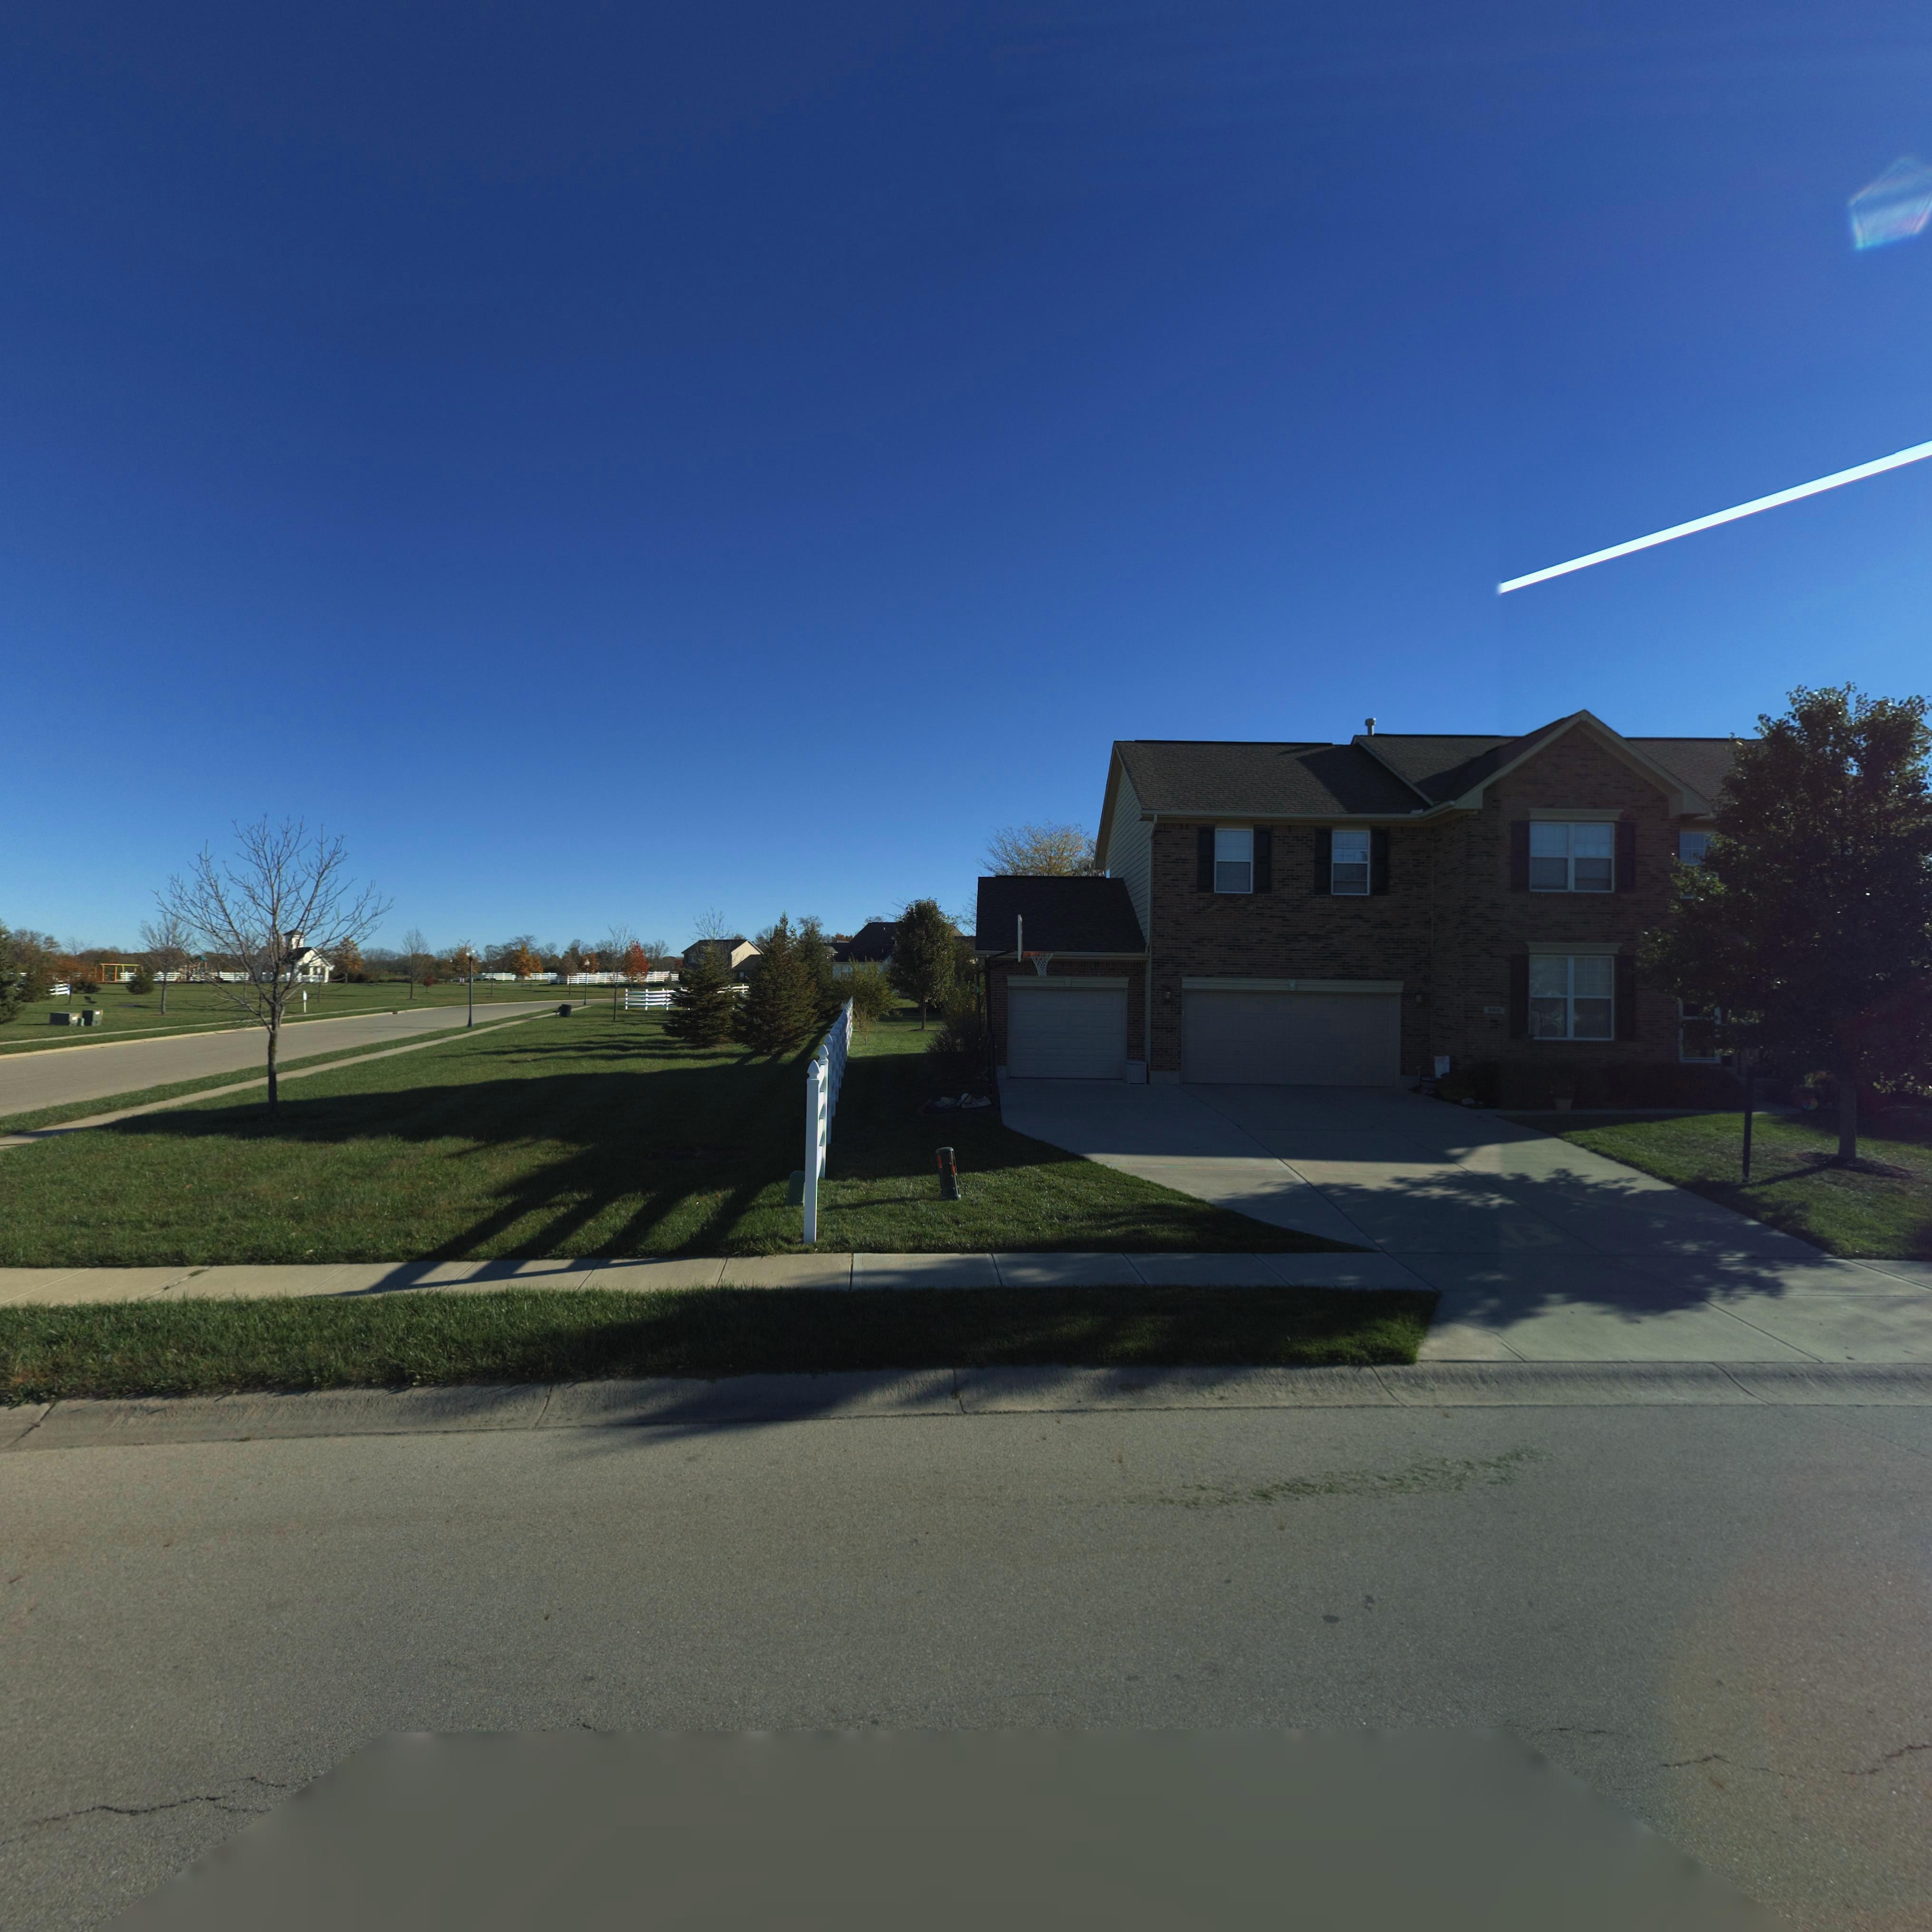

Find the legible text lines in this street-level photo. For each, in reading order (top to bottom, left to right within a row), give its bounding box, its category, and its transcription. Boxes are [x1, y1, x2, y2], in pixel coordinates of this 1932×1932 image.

[1486, 1007, 1501, 1013] StreetNumber: 205